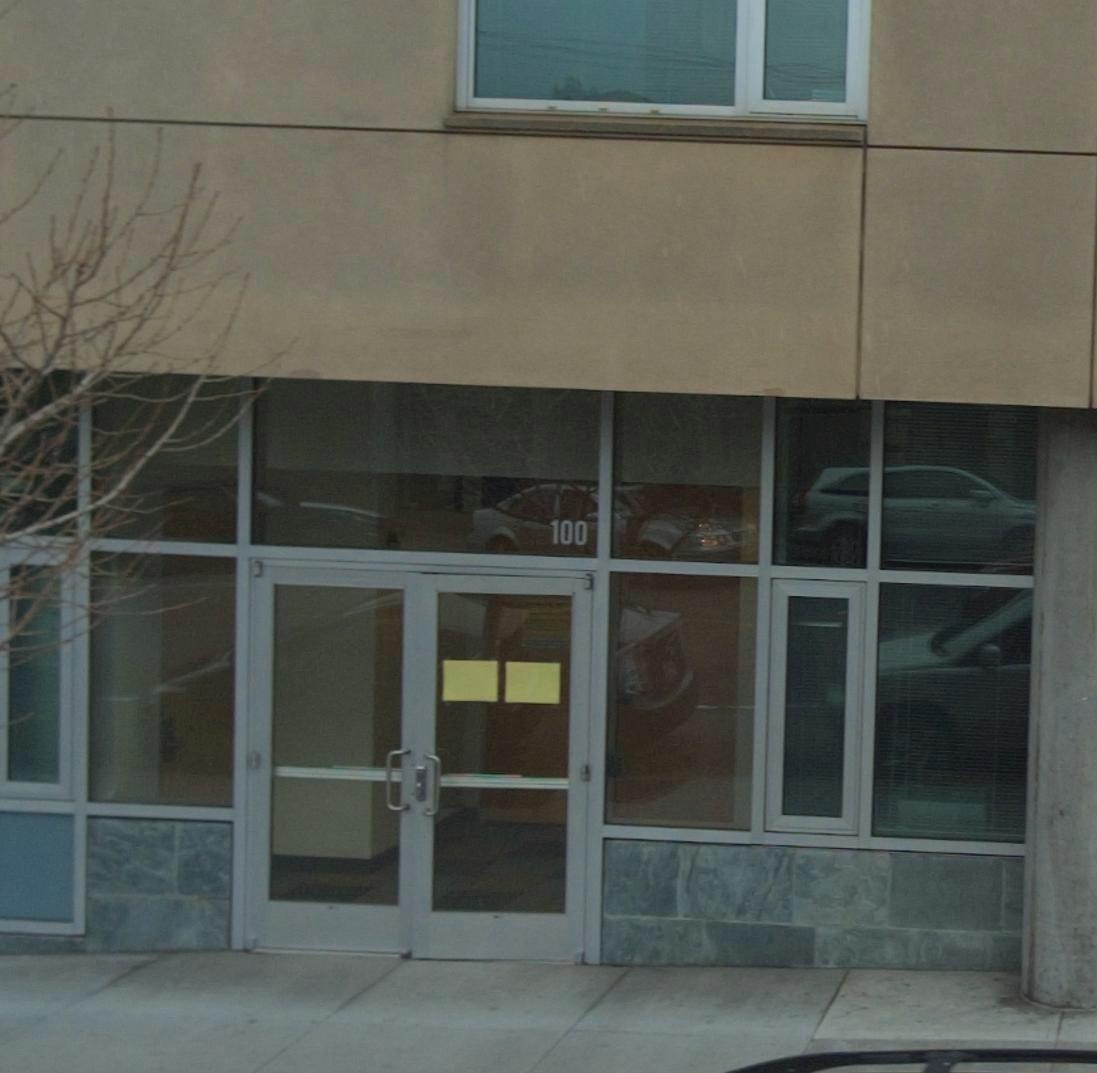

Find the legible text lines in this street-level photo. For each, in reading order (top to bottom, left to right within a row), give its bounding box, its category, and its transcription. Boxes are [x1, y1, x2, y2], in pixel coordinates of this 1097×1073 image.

[549, 517, 589, 546] StreetNumber: 100